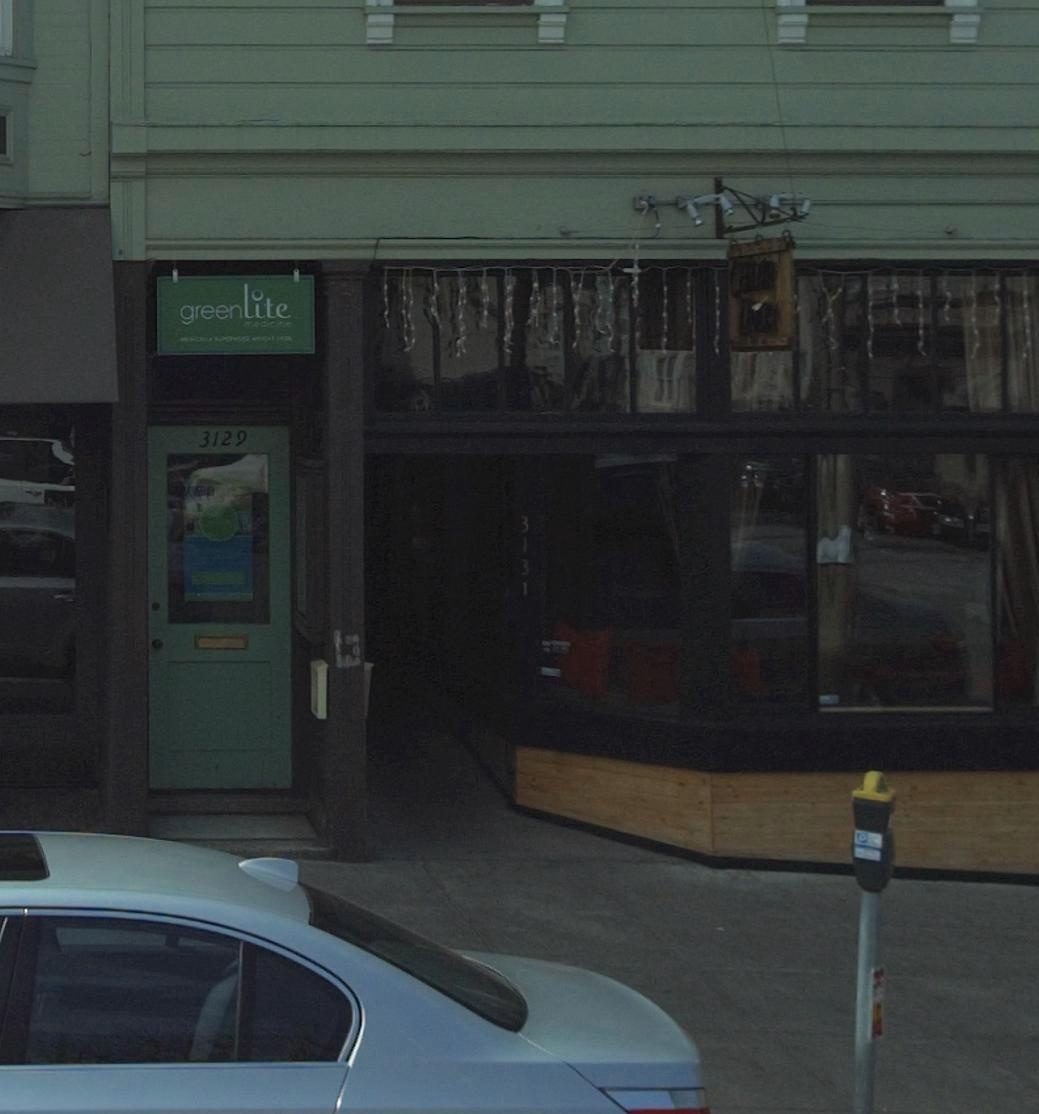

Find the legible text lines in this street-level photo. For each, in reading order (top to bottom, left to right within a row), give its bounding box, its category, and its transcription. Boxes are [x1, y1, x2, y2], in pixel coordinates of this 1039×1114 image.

[177, 279, 295, 329] BusinessName: greenlite
[196, 427, 250, 451] StreetNumber: 3129
[519, 514, 531, 598] StreetNumber: 3131